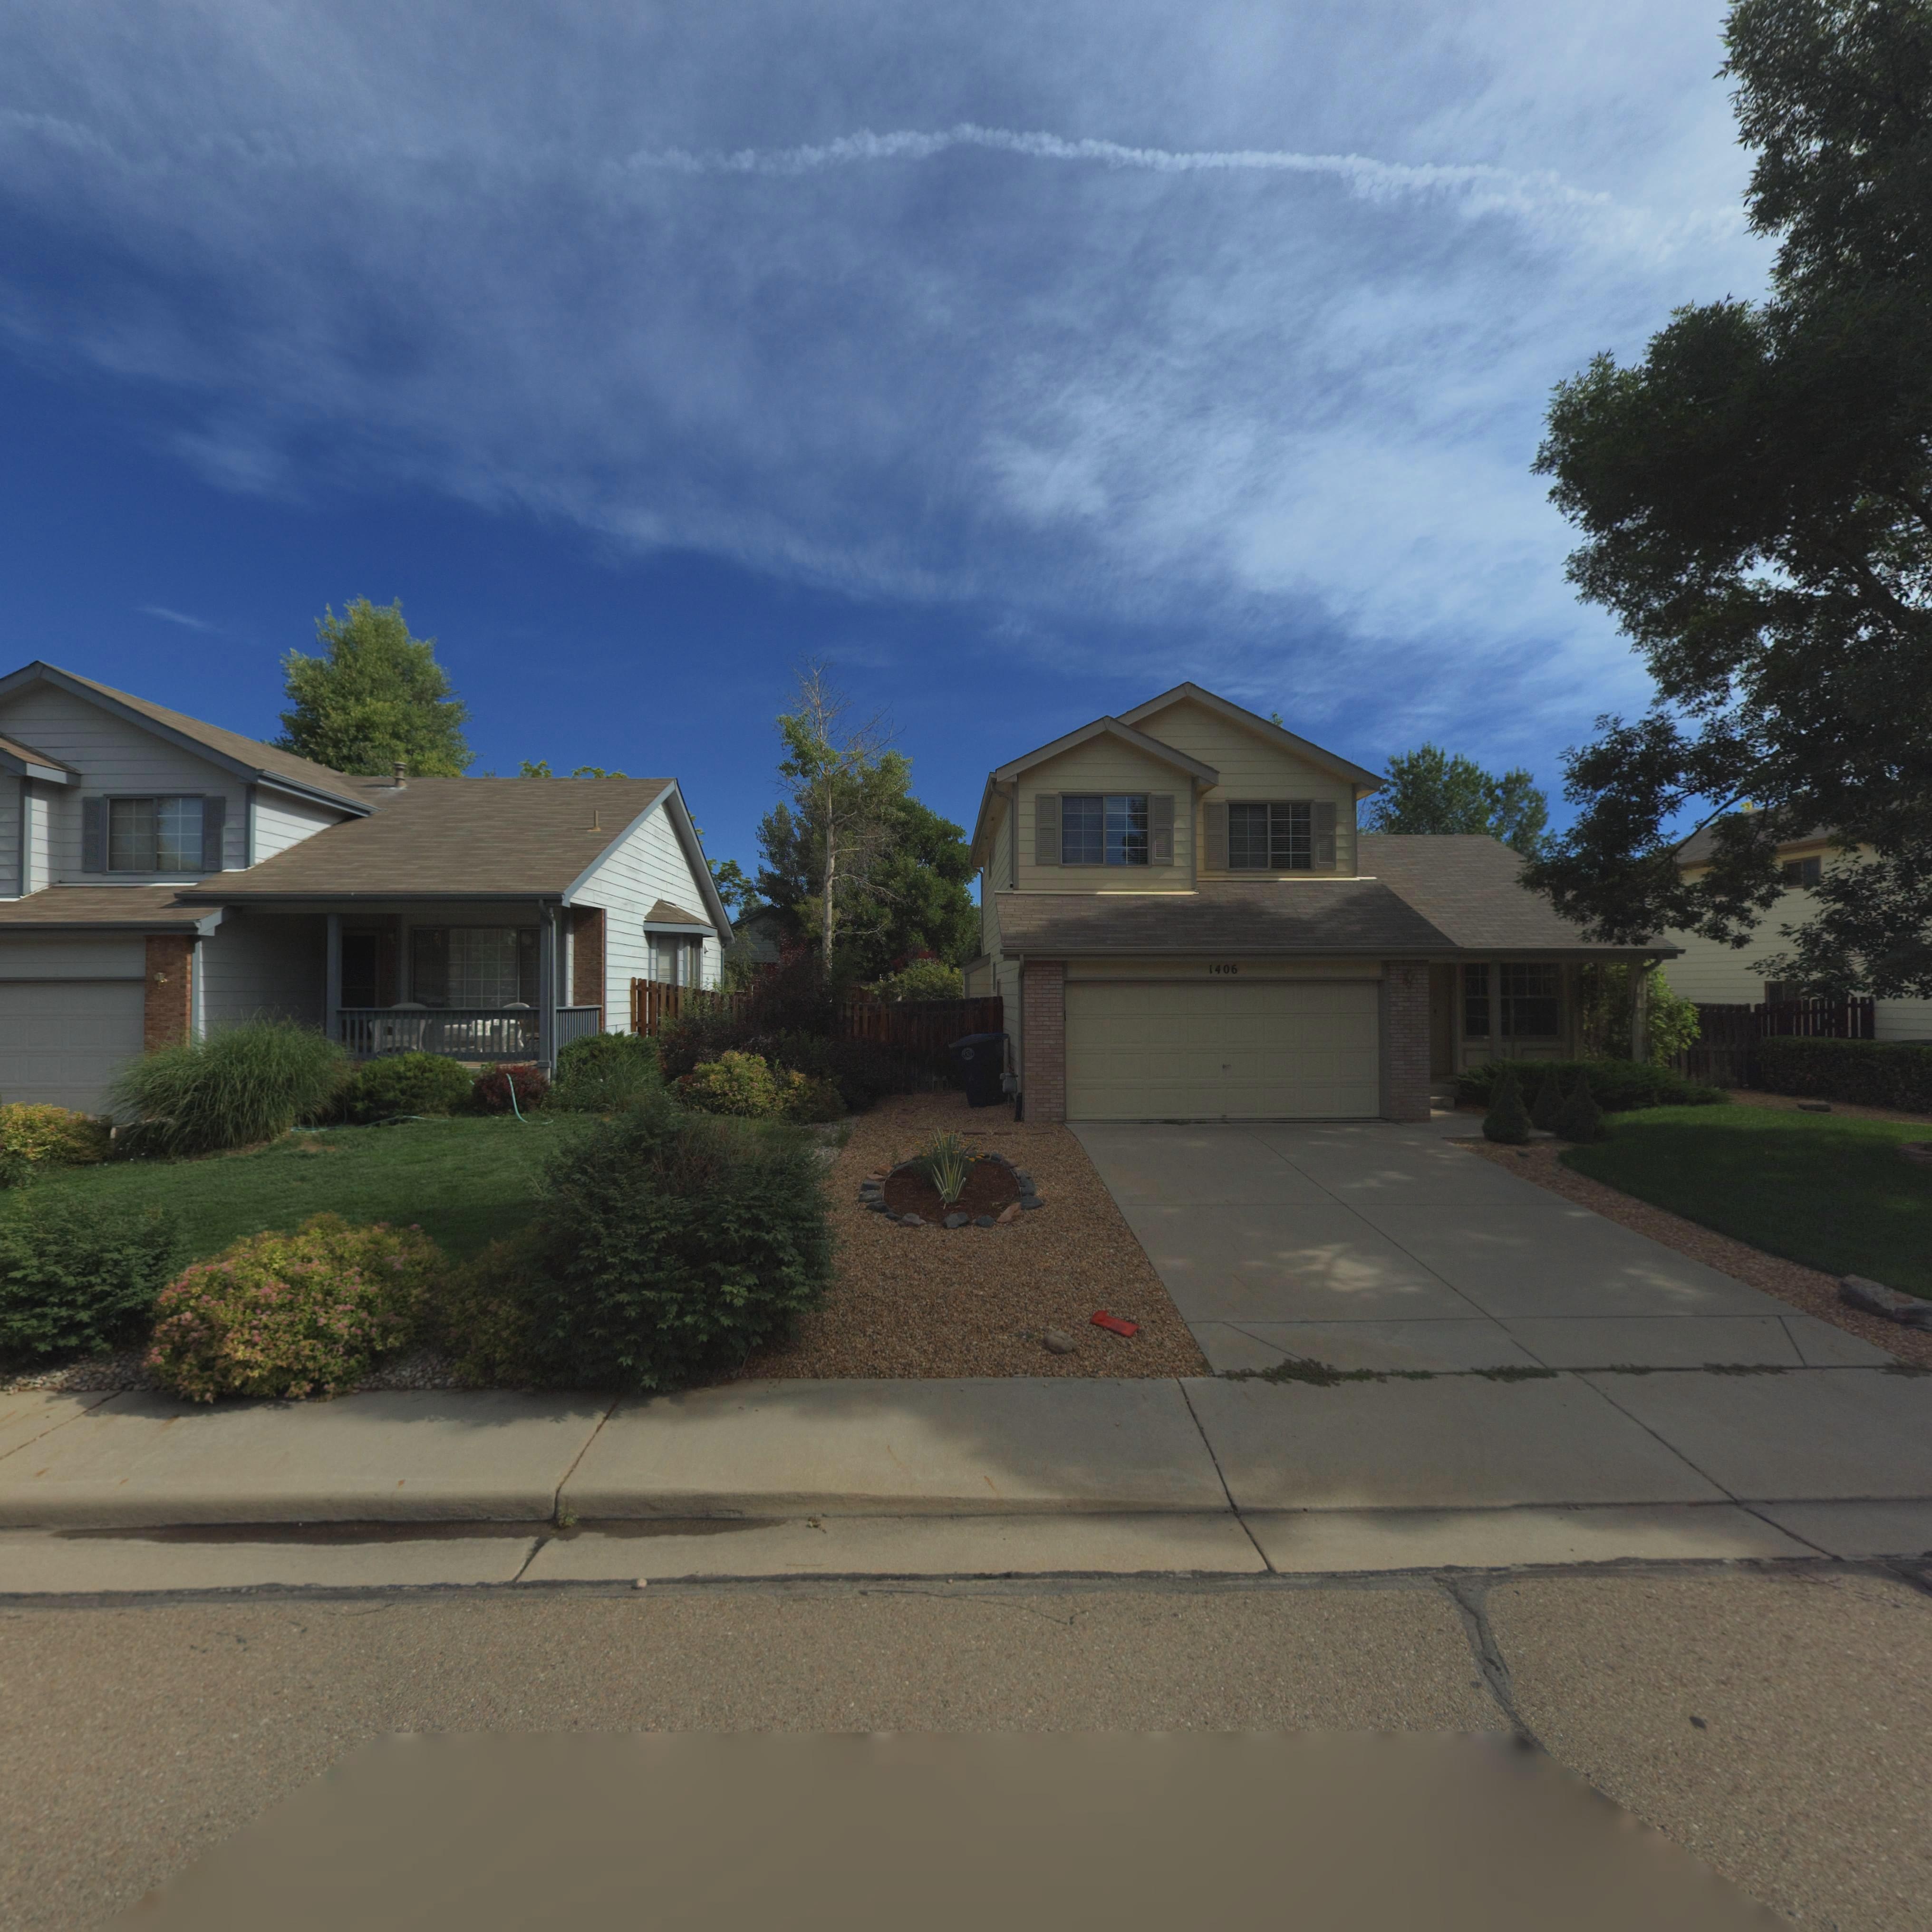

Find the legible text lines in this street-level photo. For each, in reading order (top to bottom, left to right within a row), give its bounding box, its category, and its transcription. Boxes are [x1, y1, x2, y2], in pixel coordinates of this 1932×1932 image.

[1208, 963, 1237, 974] StreetNumber: 1406